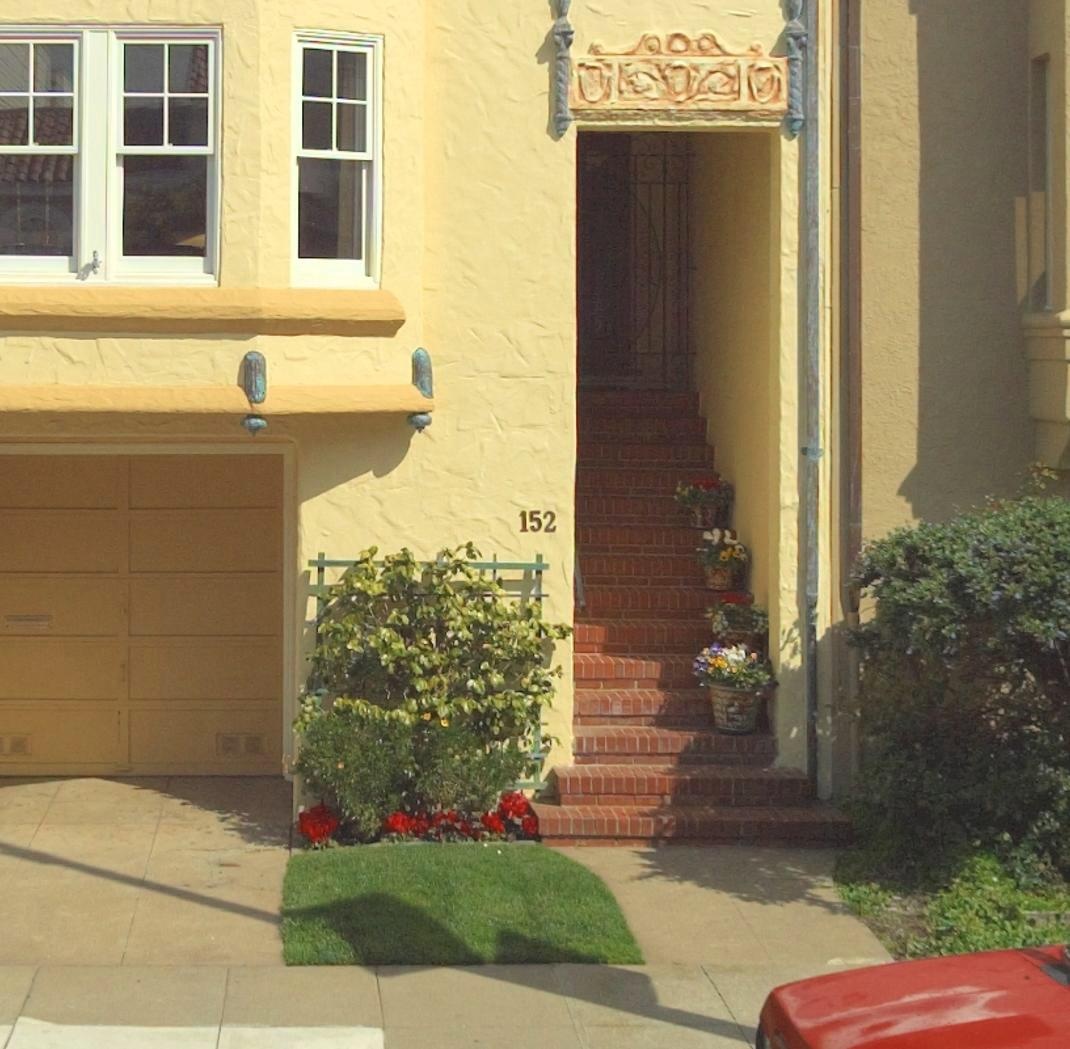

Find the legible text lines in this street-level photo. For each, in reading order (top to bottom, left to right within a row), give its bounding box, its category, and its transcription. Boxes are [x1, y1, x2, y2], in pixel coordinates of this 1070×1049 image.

[516, 507, 559, 535] StreetNumber: 152